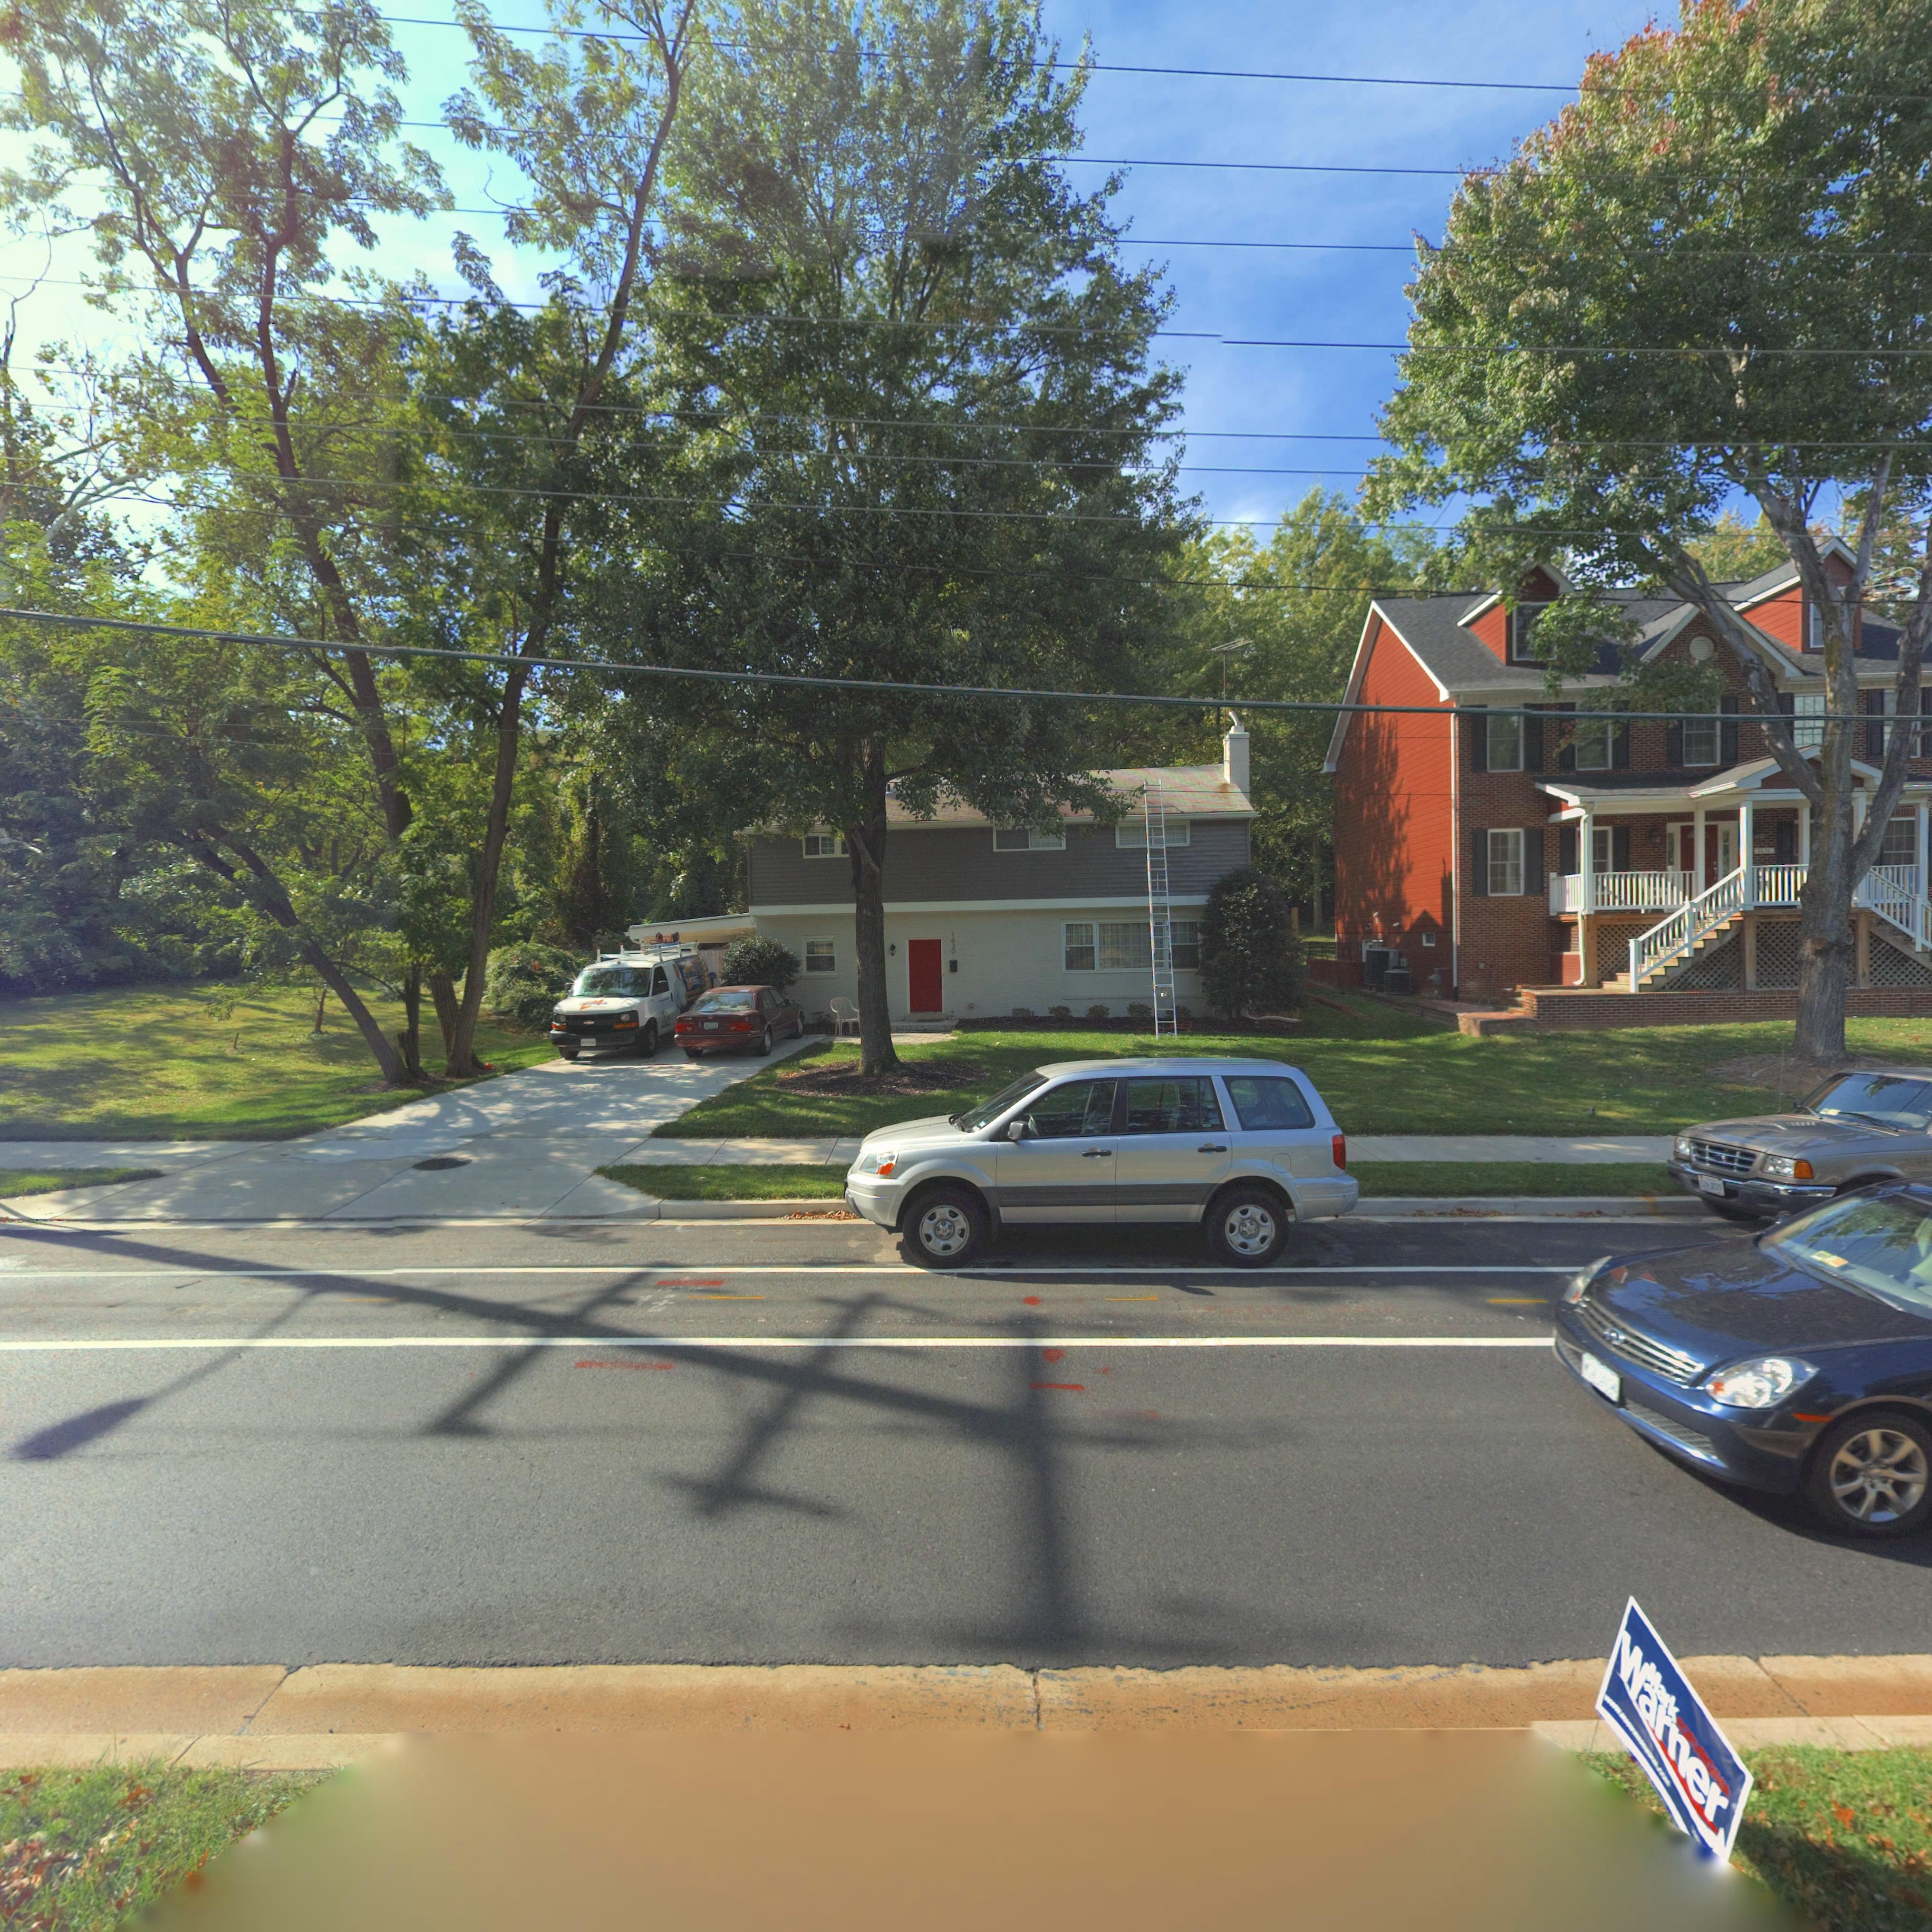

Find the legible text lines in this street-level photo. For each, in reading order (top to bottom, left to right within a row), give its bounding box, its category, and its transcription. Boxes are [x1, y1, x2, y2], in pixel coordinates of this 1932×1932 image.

[950, 929, 956, 955] StreetNumber: 1630
[1644, 1658, 1682, 1728] None: Mark
[1619, 1629, 1732, 1825] None: Warner